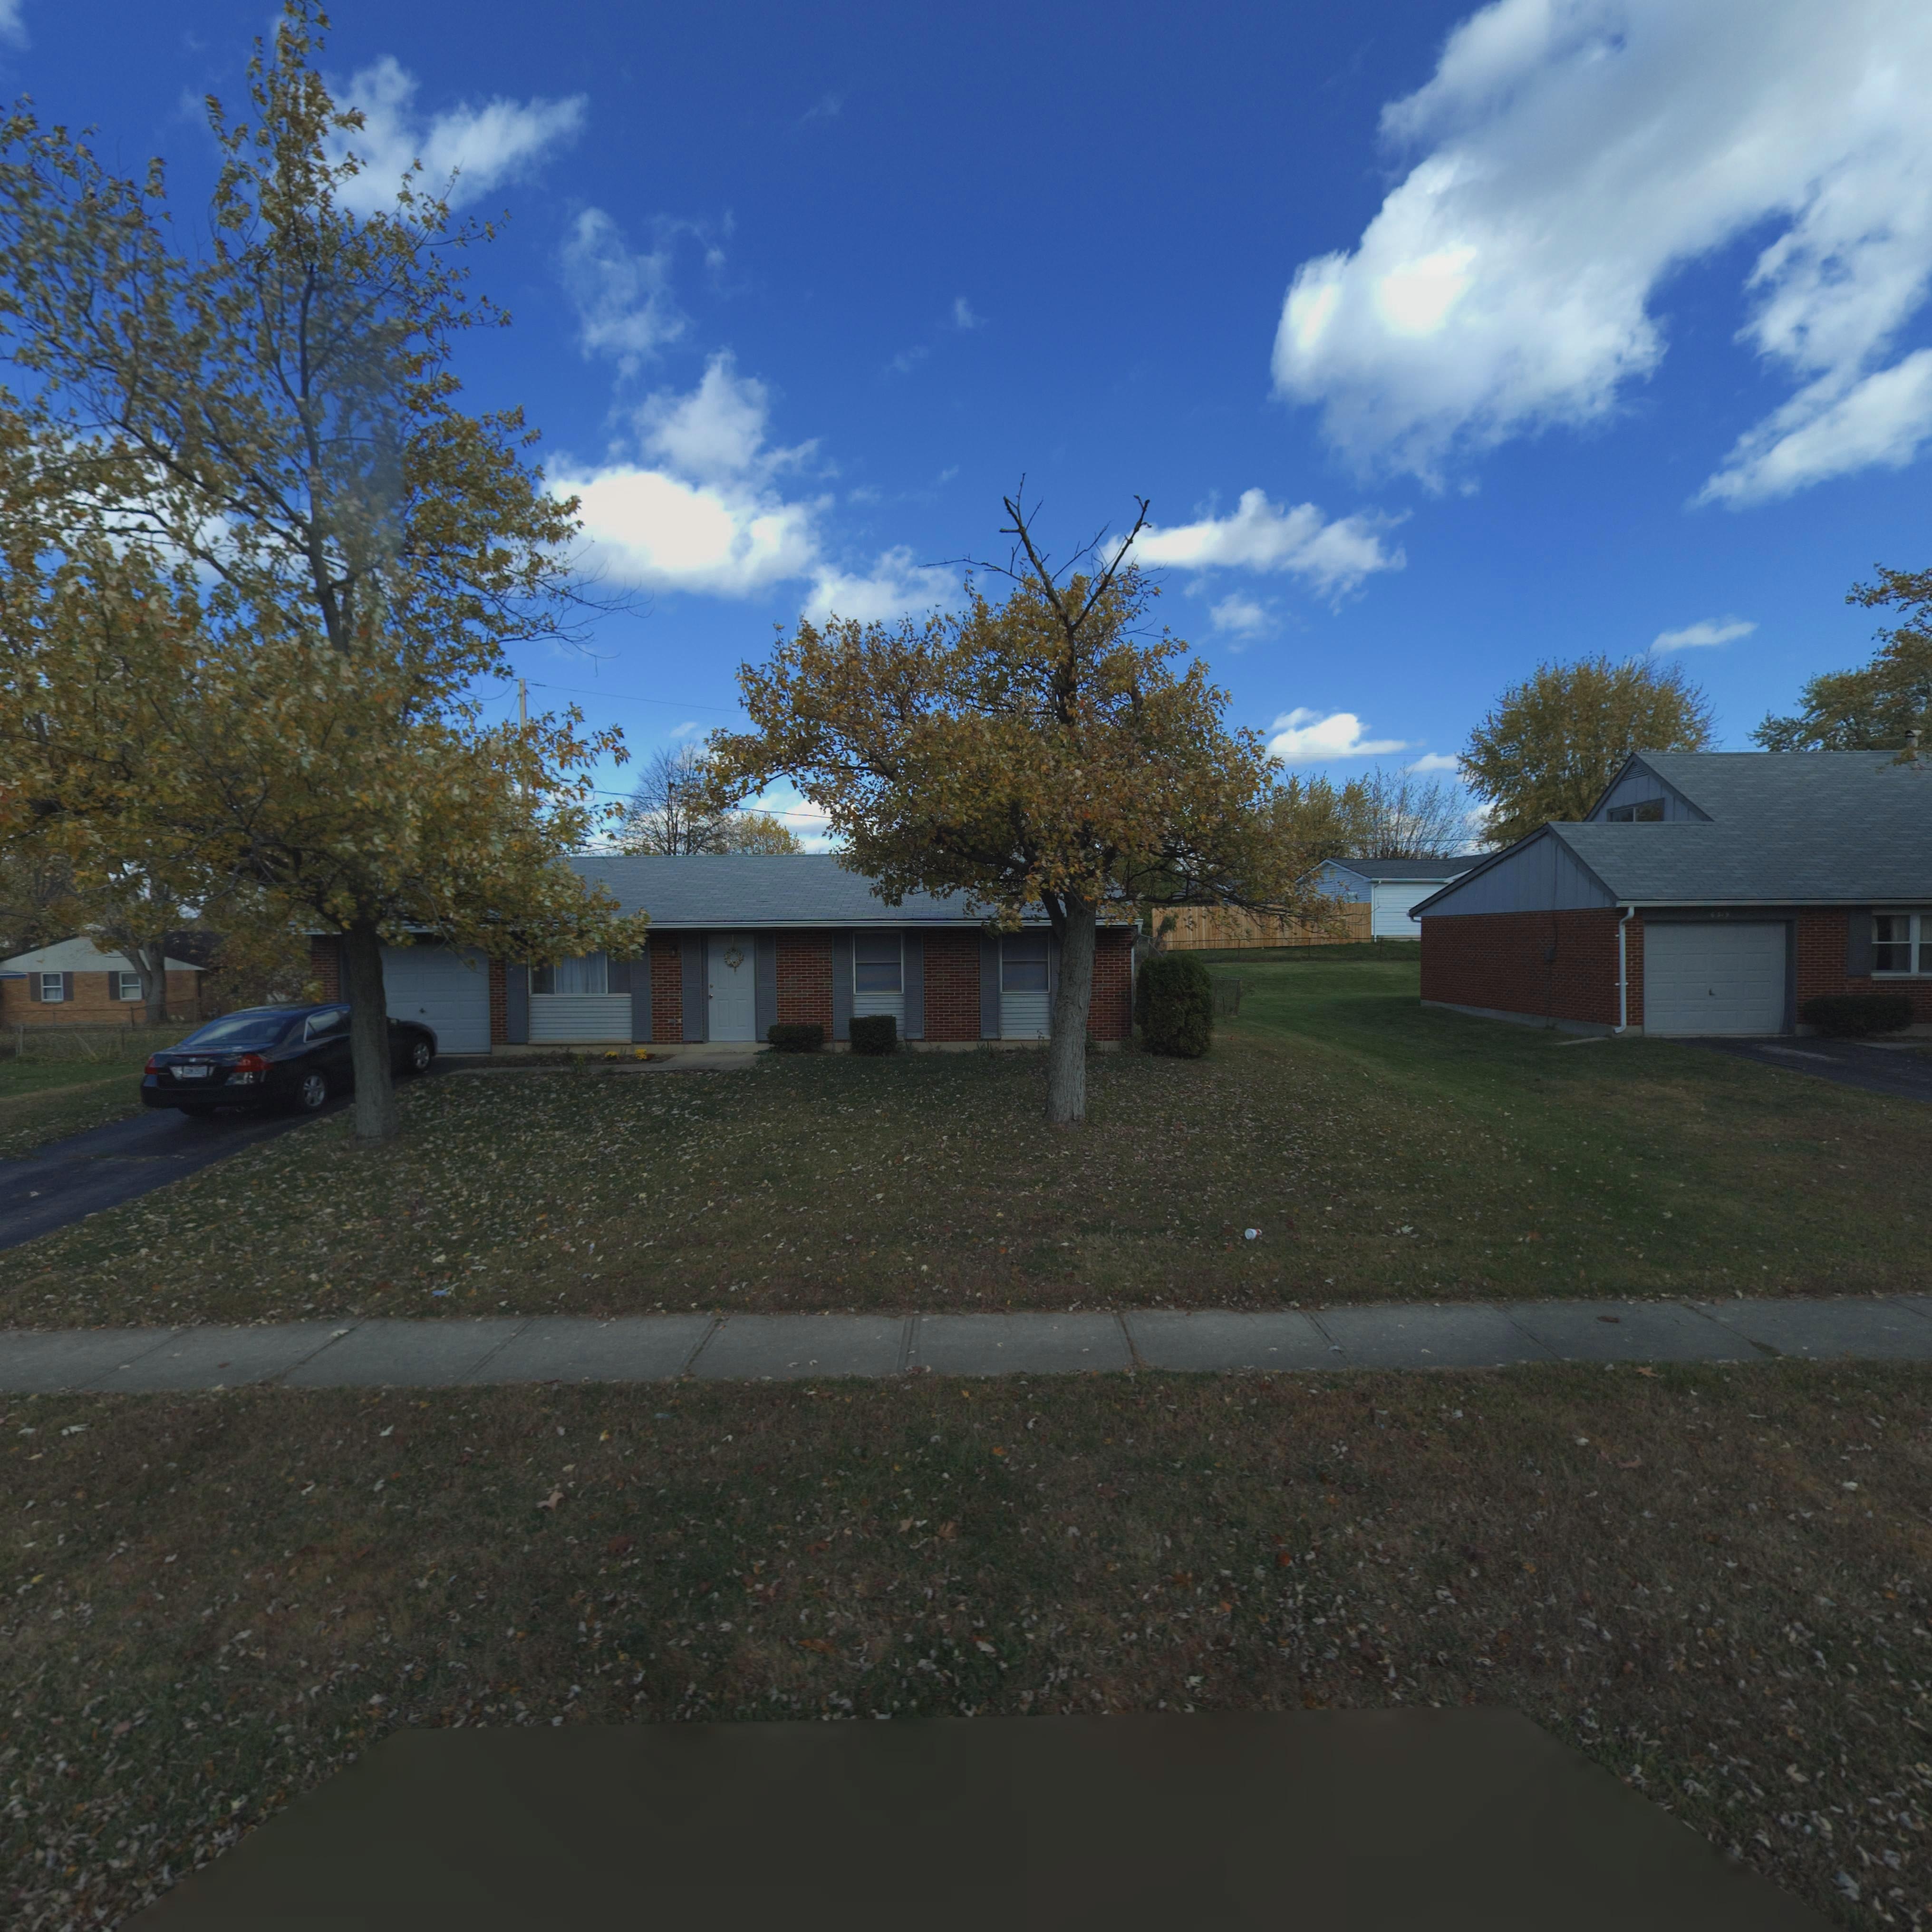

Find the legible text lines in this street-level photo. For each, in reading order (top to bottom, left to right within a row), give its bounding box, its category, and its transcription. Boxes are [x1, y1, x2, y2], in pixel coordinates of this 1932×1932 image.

[1709, 910, 1730, 918] StreetNumber: 6**9